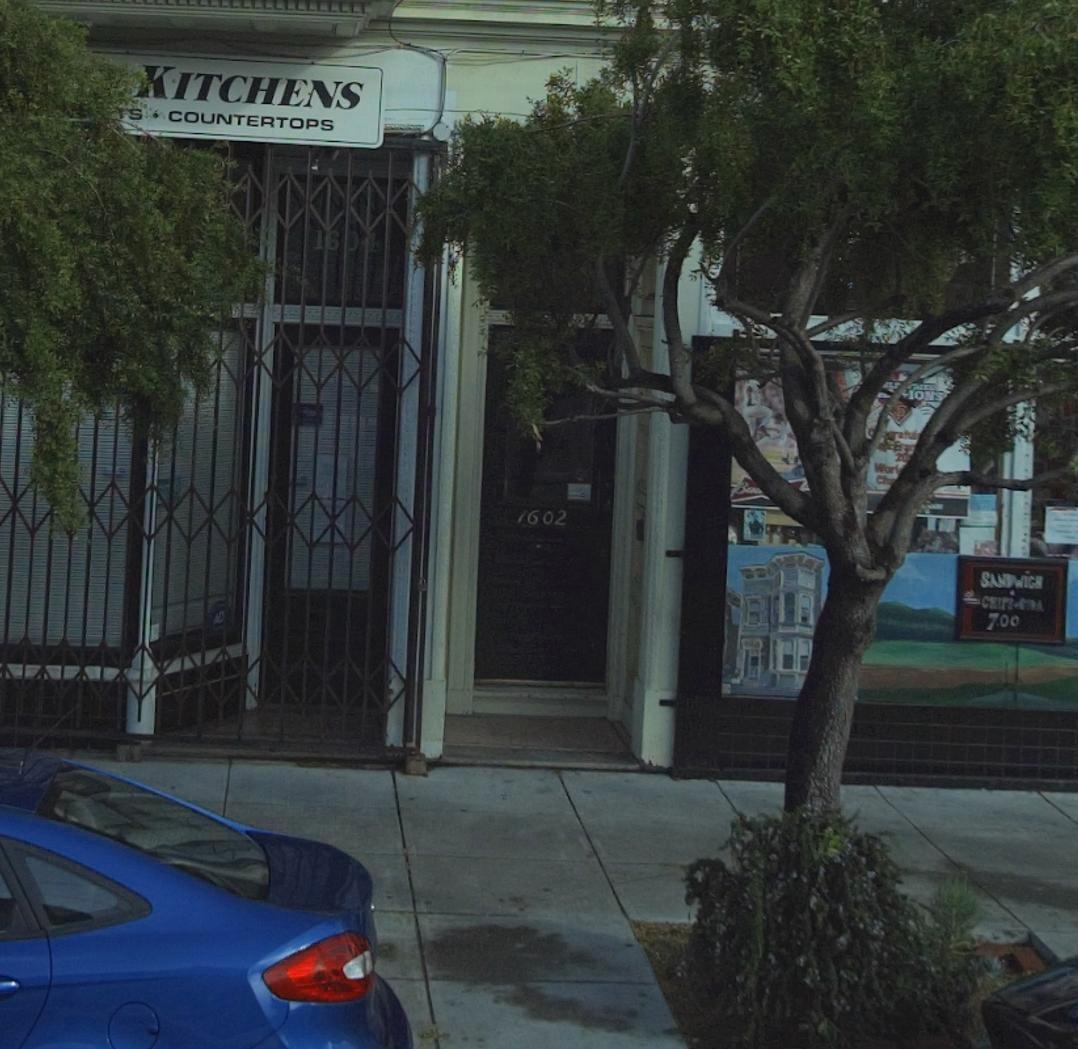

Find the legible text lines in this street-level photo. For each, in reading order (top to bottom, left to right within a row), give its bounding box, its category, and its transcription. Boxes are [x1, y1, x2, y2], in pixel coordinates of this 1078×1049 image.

[168, 69, 366, 113] BusinessName: ITCHENS
[126, 105, 337, 134] None: S * COUNTERTOPS
[513, 506, 572, 529] StreetNumber: 1602
[978, 569, 1008, 590] None: SAN
[984, 609, 1023, 633] None: 7.00